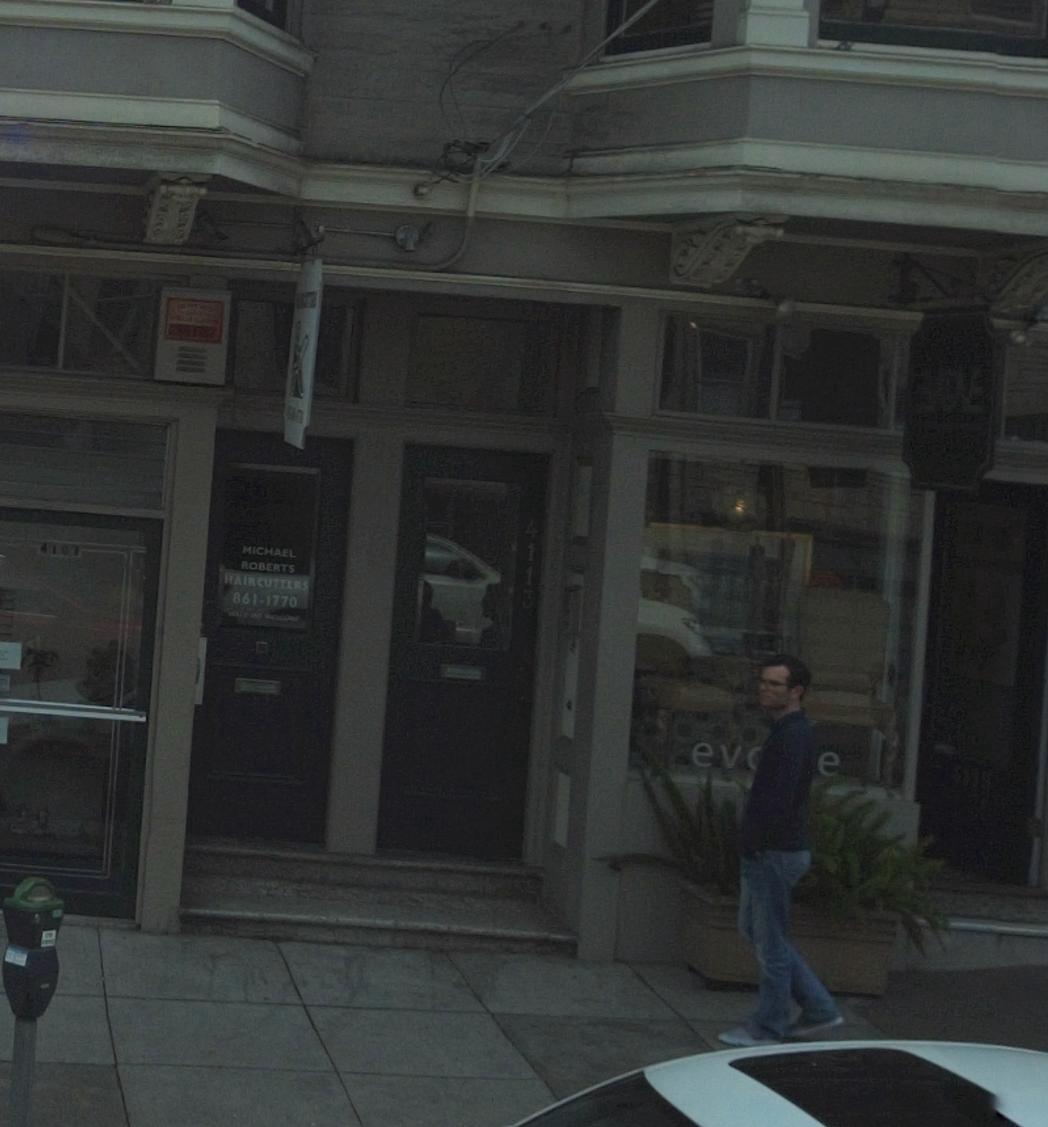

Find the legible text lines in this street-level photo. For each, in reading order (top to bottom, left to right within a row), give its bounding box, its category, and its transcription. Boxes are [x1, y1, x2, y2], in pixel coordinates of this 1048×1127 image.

[241, 544, 298, 559] None: MICHAEL
[240, 560, 297, 574] None: ROBERTS
[521, 517, 537, 610] StreetNumber: 4113
[223, 573, 308, 591] None: HAIRCUTTERS
[232, 591, 299, 609] None: 861-1770
[690, 740, 746, 771] BusinessName: ev
[816, 750, 841, 779] BusinessName: e